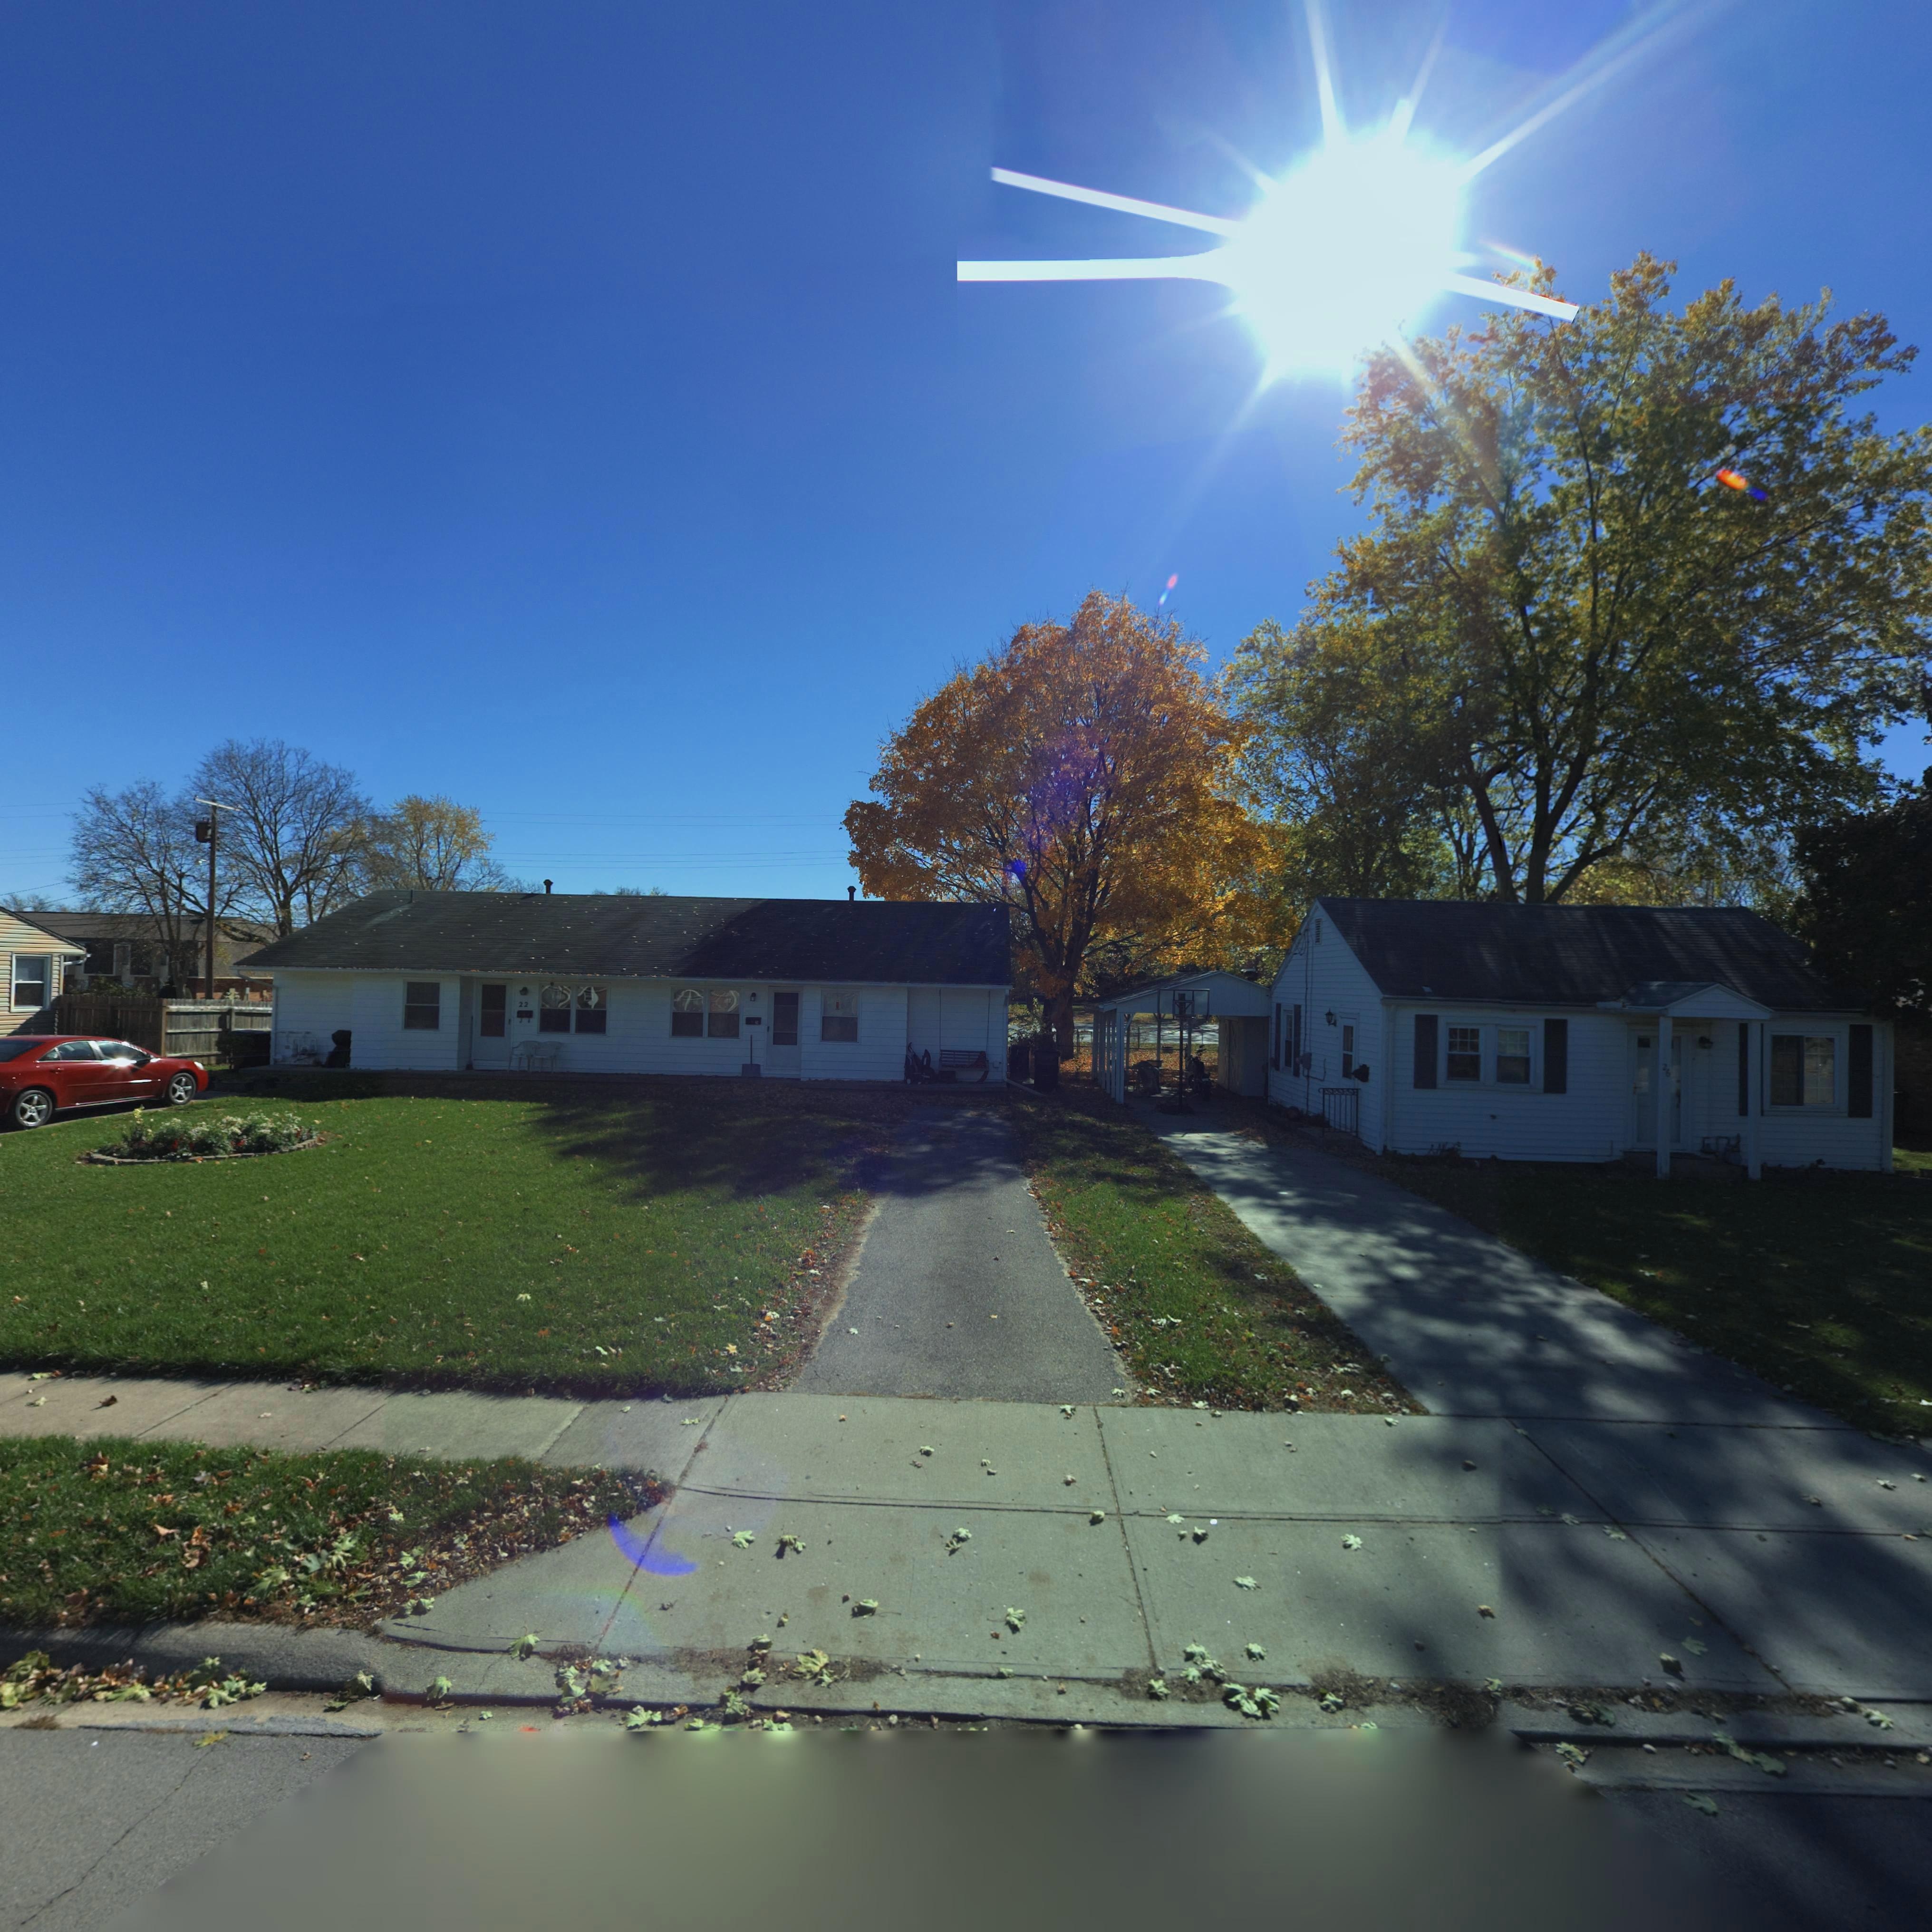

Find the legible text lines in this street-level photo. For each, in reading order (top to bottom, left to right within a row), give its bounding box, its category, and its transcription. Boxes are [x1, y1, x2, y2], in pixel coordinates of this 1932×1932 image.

[518, 1001, 530, 1008] StreetNumber: 22
[1661, 1062, 1672, 1079] StreetNumber: 26